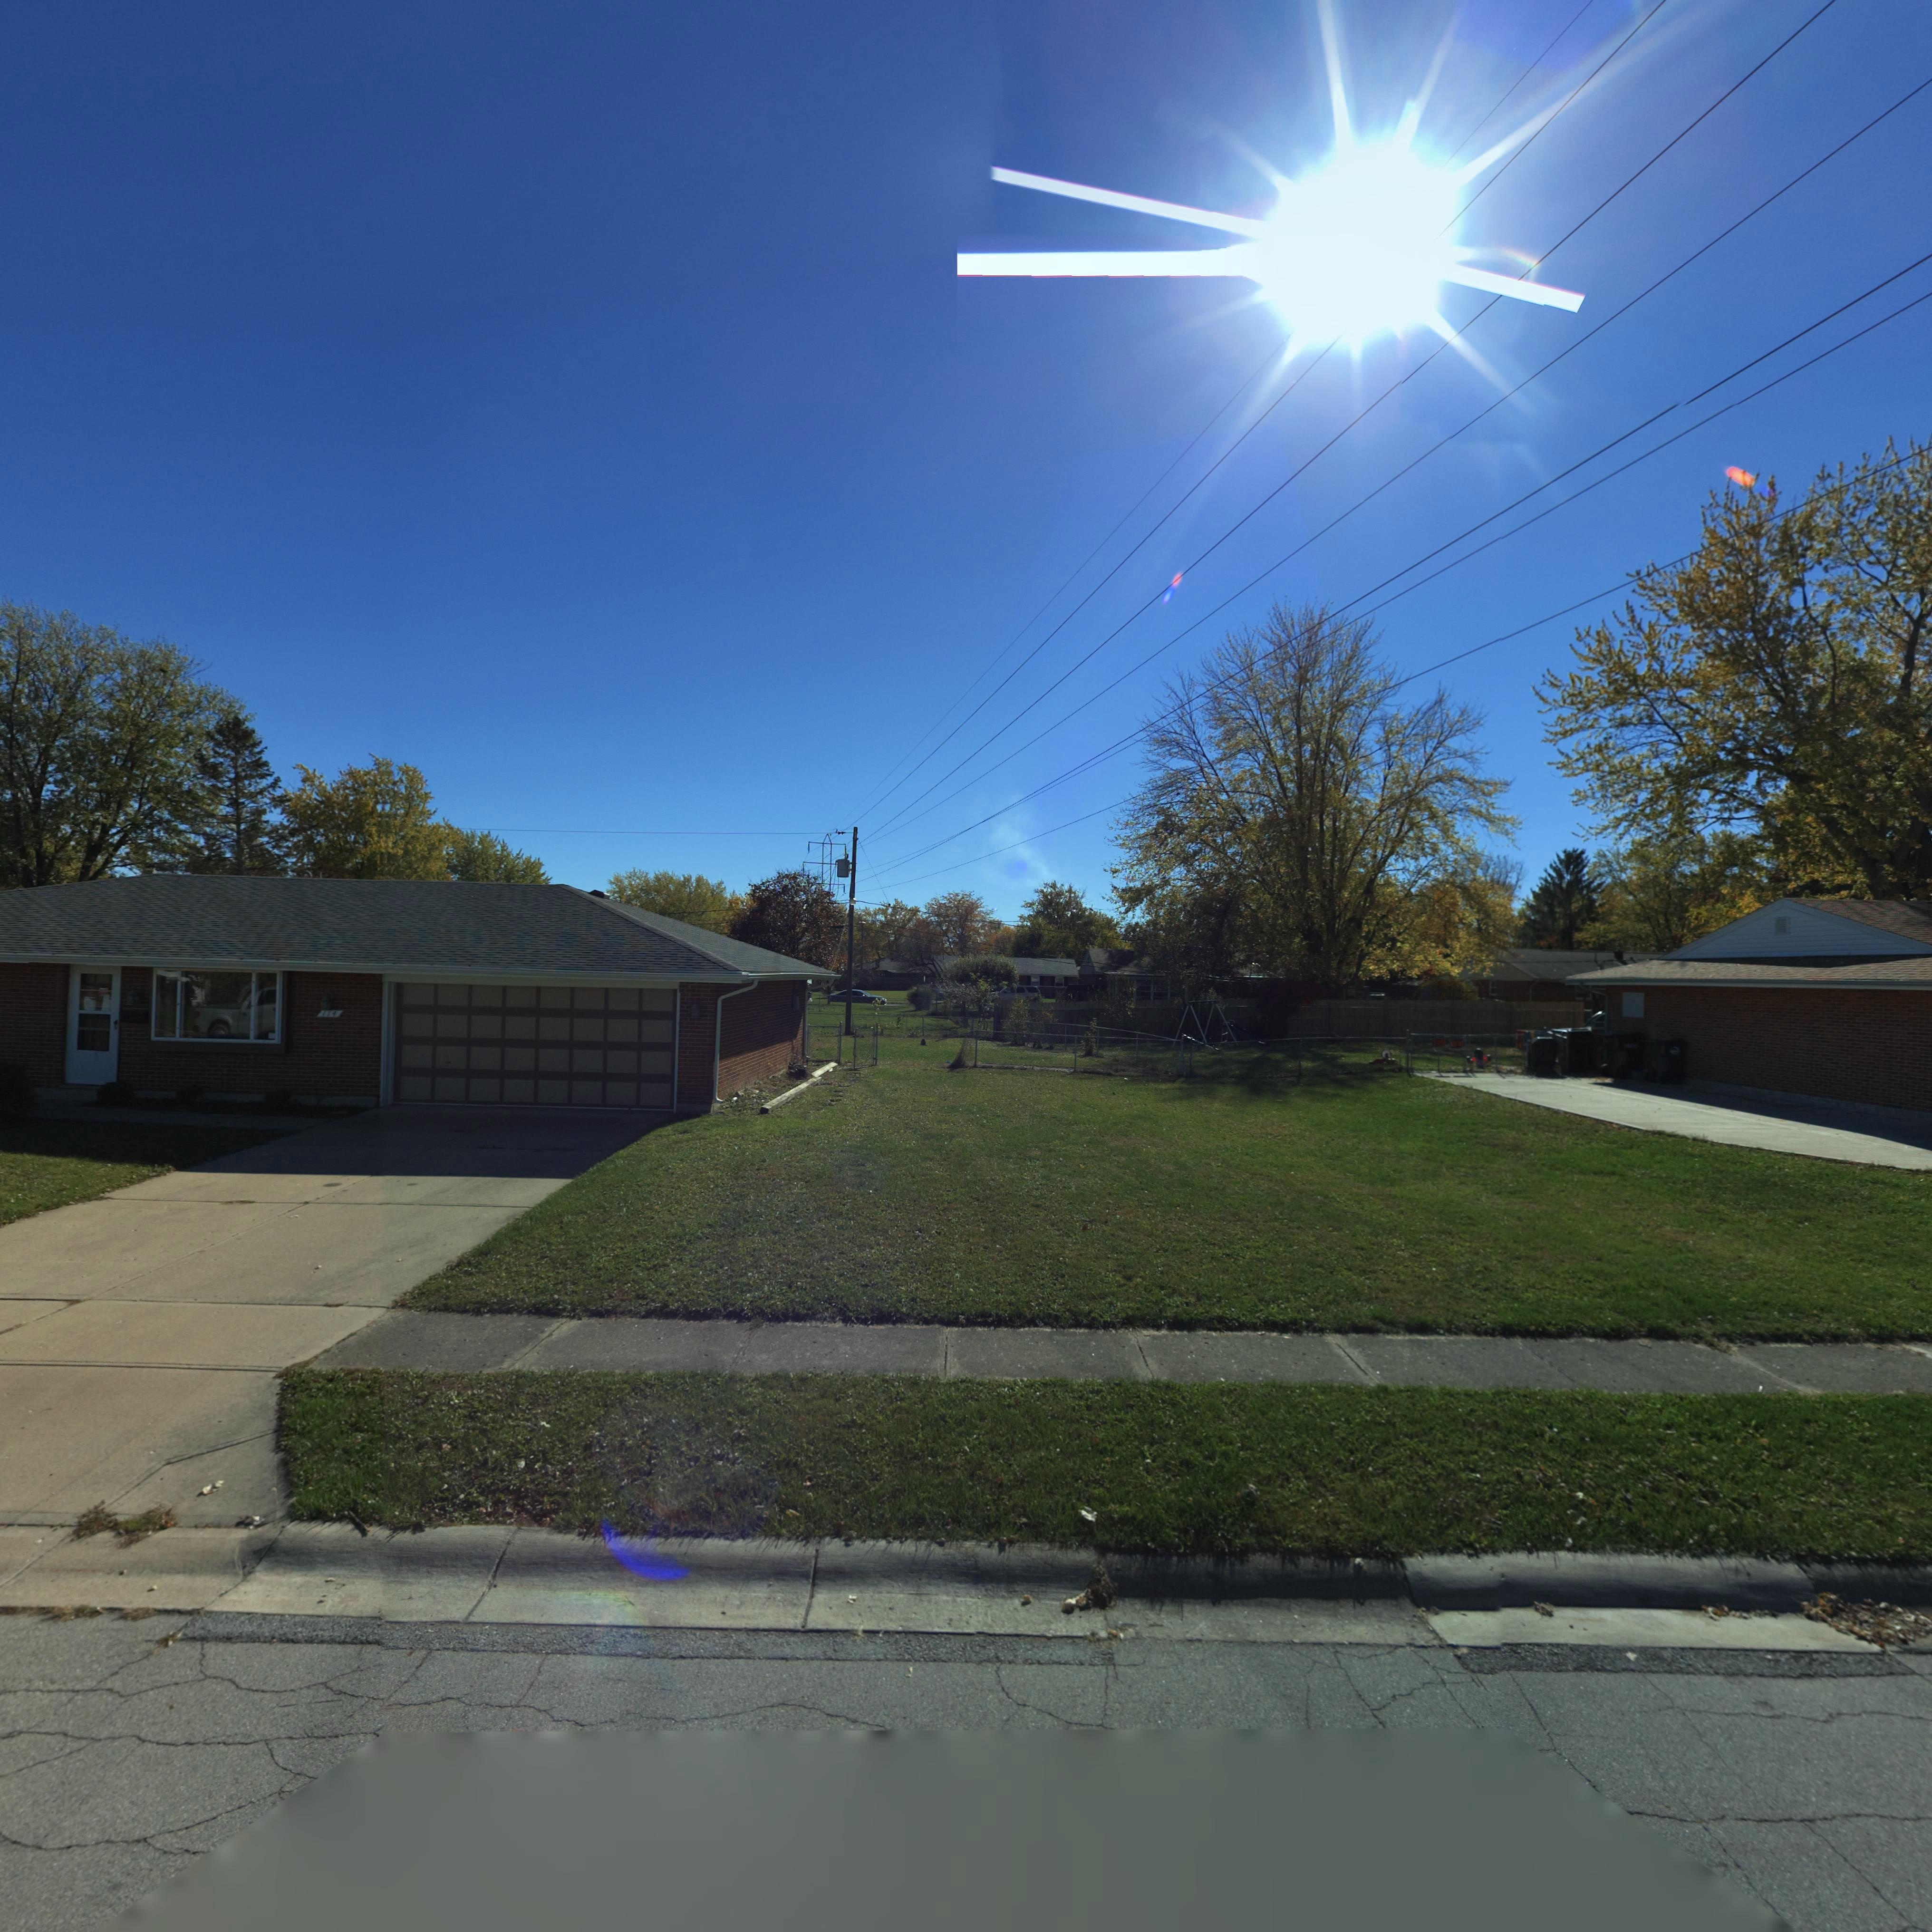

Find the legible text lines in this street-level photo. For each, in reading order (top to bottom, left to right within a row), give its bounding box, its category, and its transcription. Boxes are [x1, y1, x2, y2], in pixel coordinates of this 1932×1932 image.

[320, 1010, 338, 1018] StreetNumber: 114